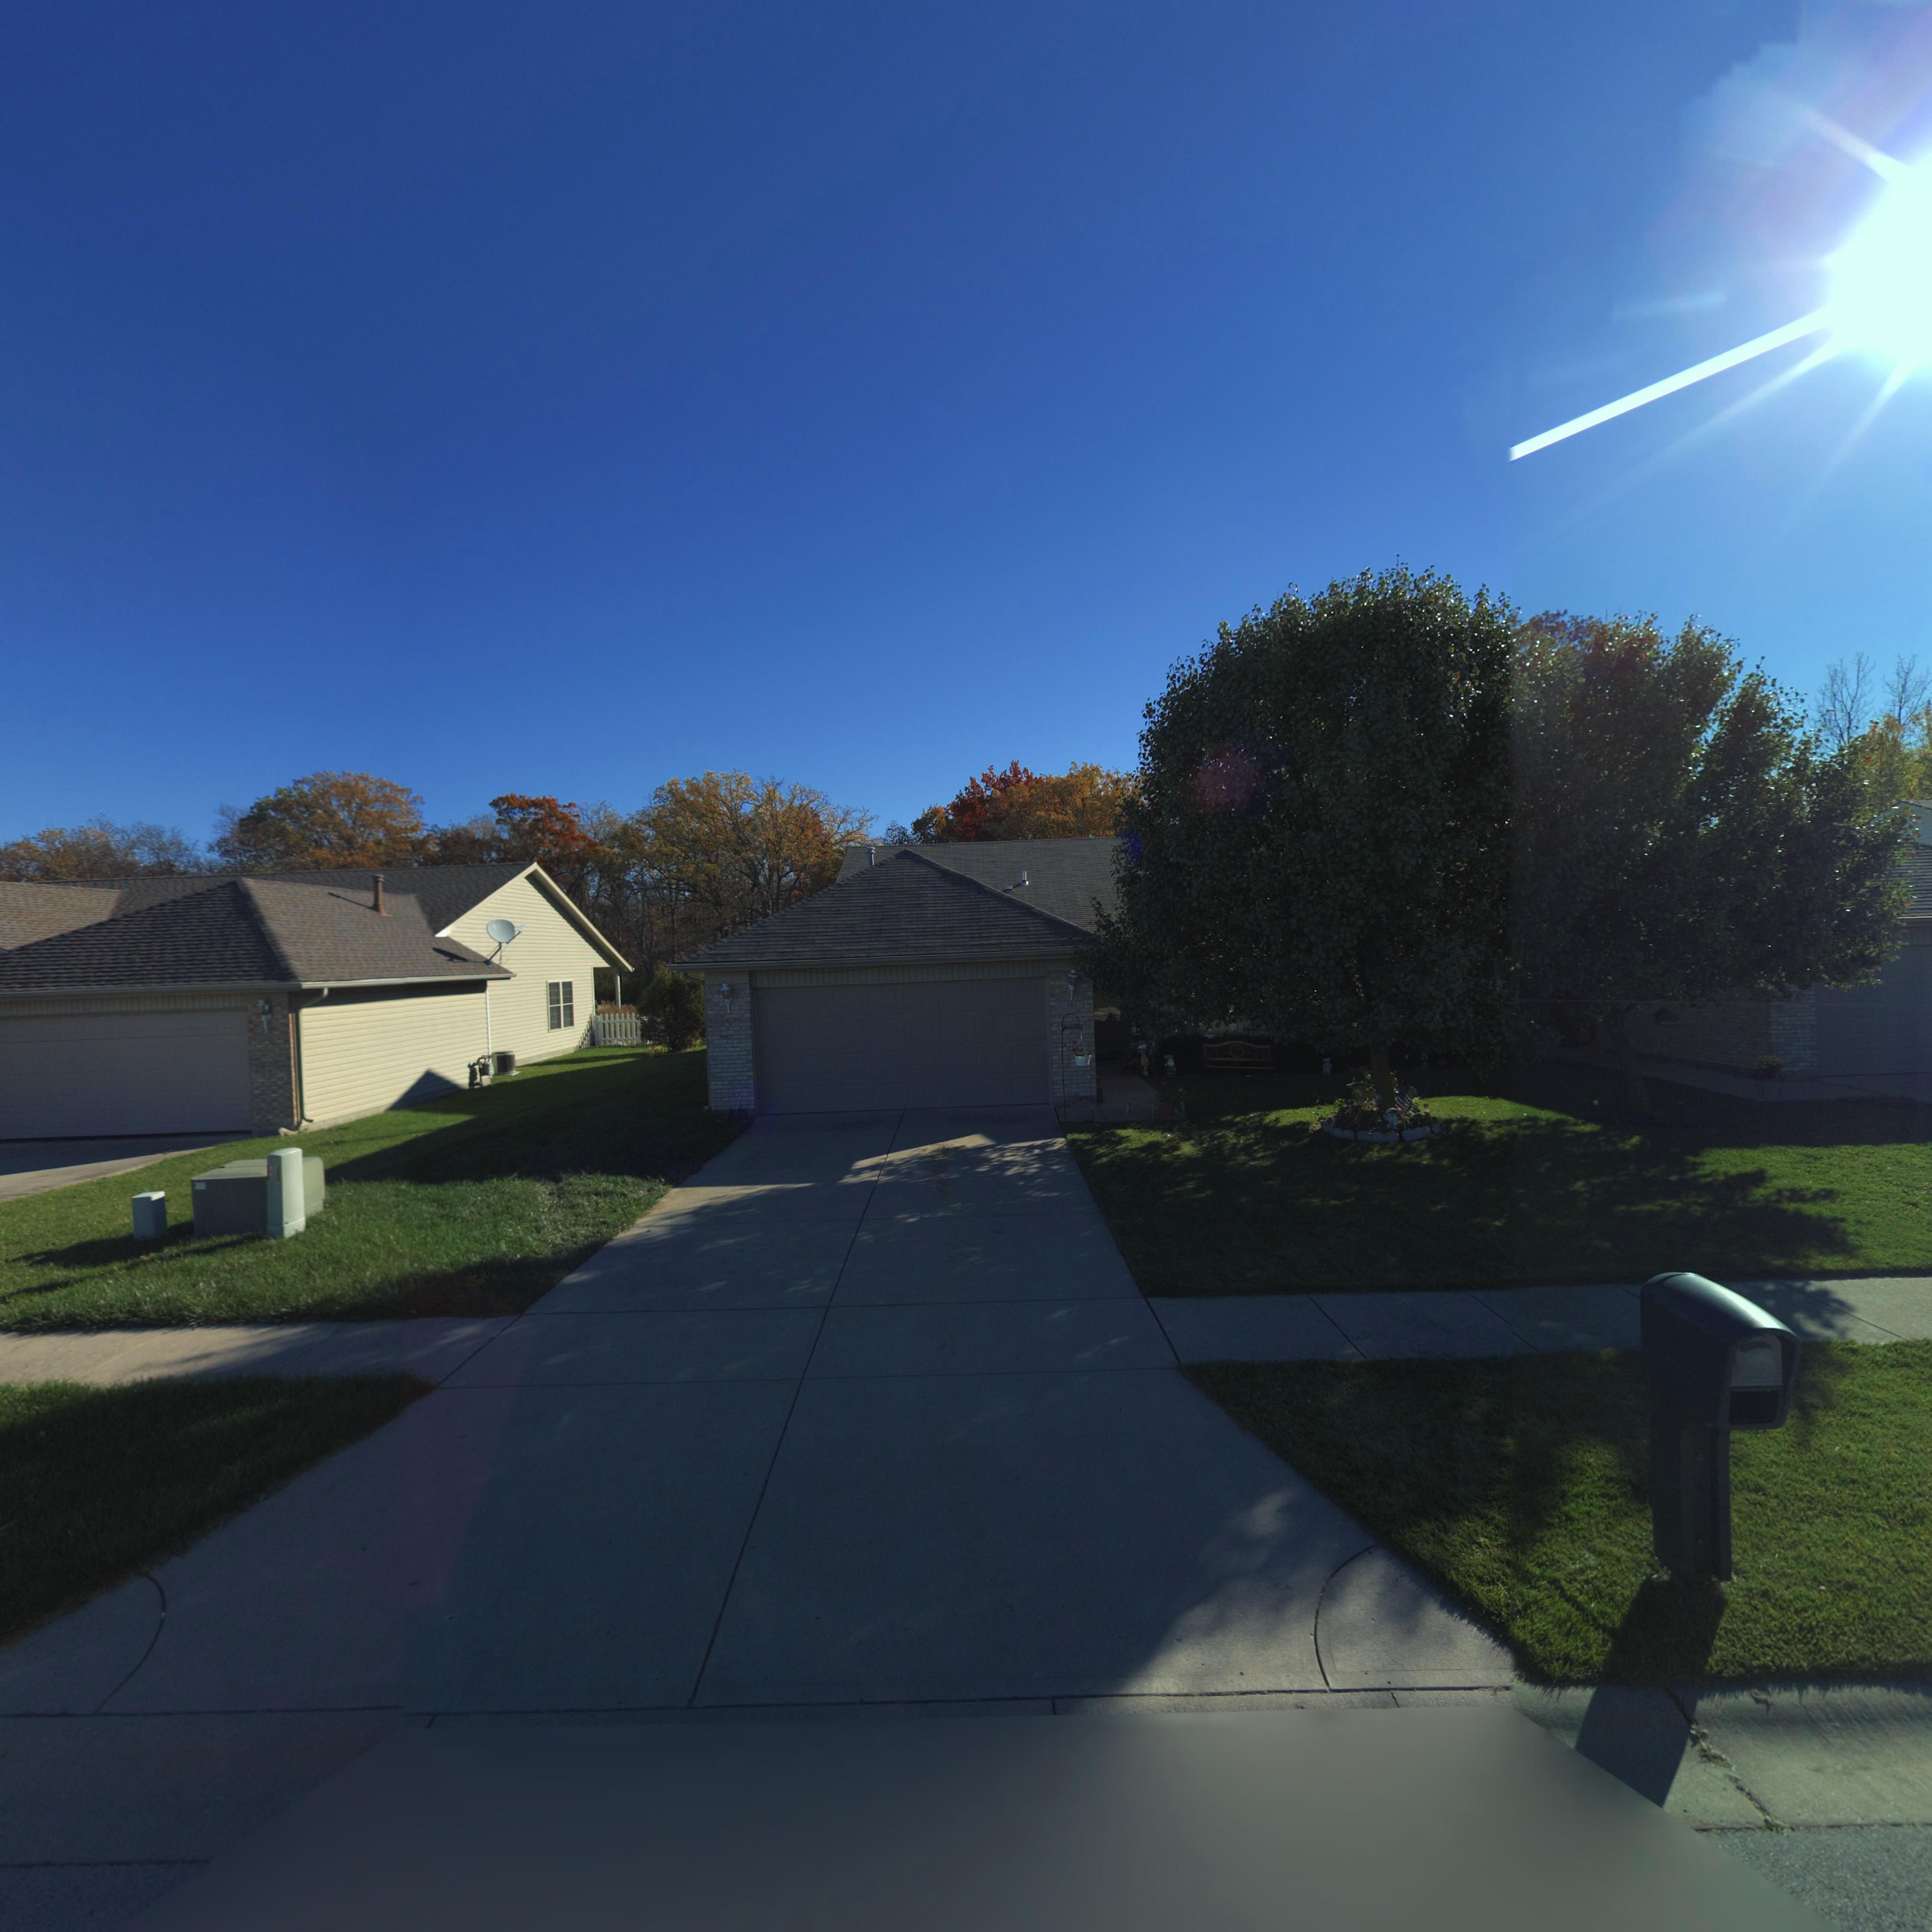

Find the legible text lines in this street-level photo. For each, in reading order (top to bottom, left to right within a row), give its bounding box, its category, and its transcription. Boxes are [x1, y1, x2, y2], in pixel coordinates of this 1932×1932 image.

[1067, 1002, 1077, 1008] StreetNumber: 181